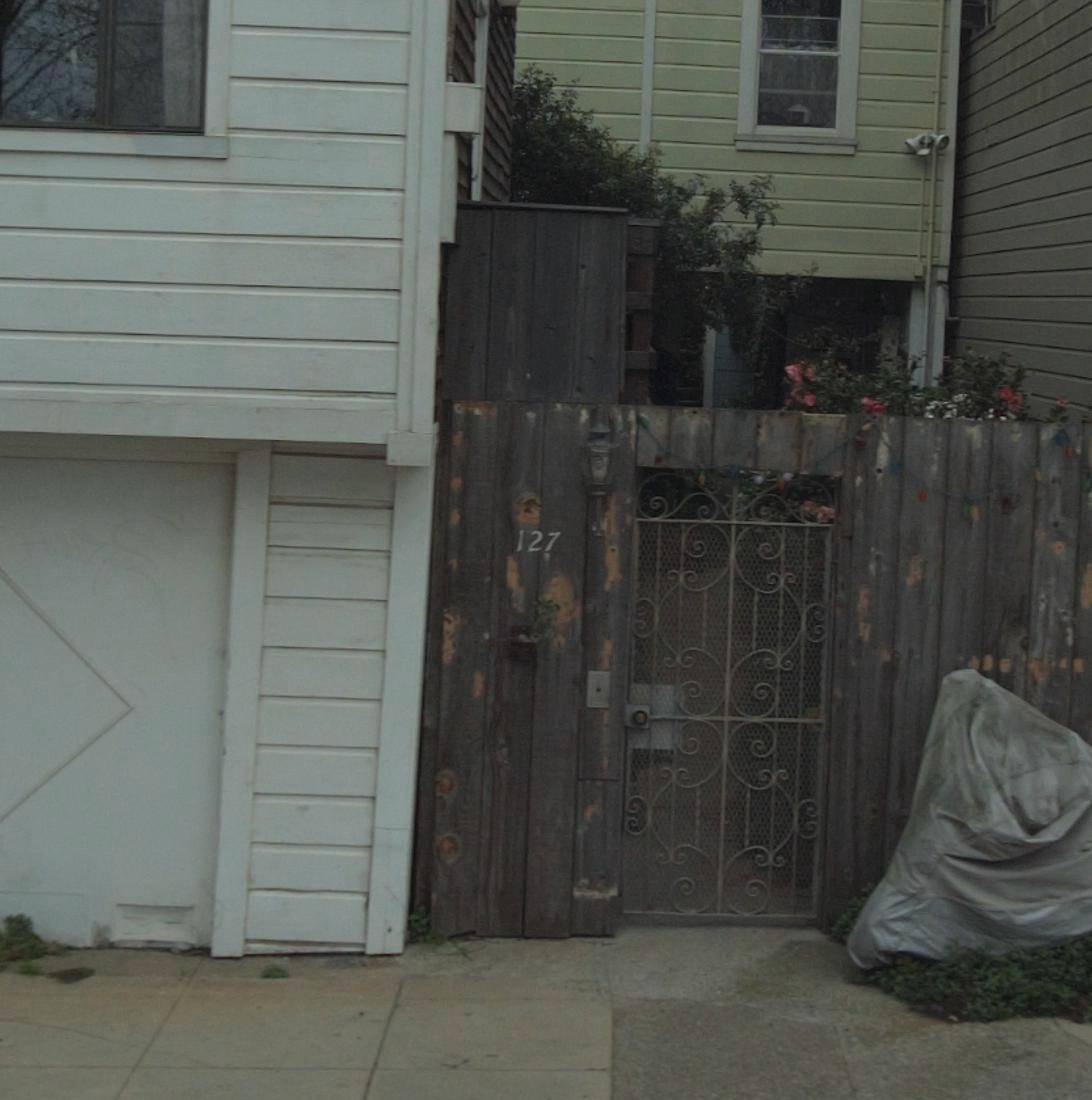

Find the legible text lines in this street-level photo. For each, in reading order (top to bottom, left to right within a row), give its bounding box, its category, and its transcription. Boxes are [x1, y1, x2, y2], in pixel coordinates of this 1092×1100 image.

[514, 528, 563, 554] StreetNumber: 127